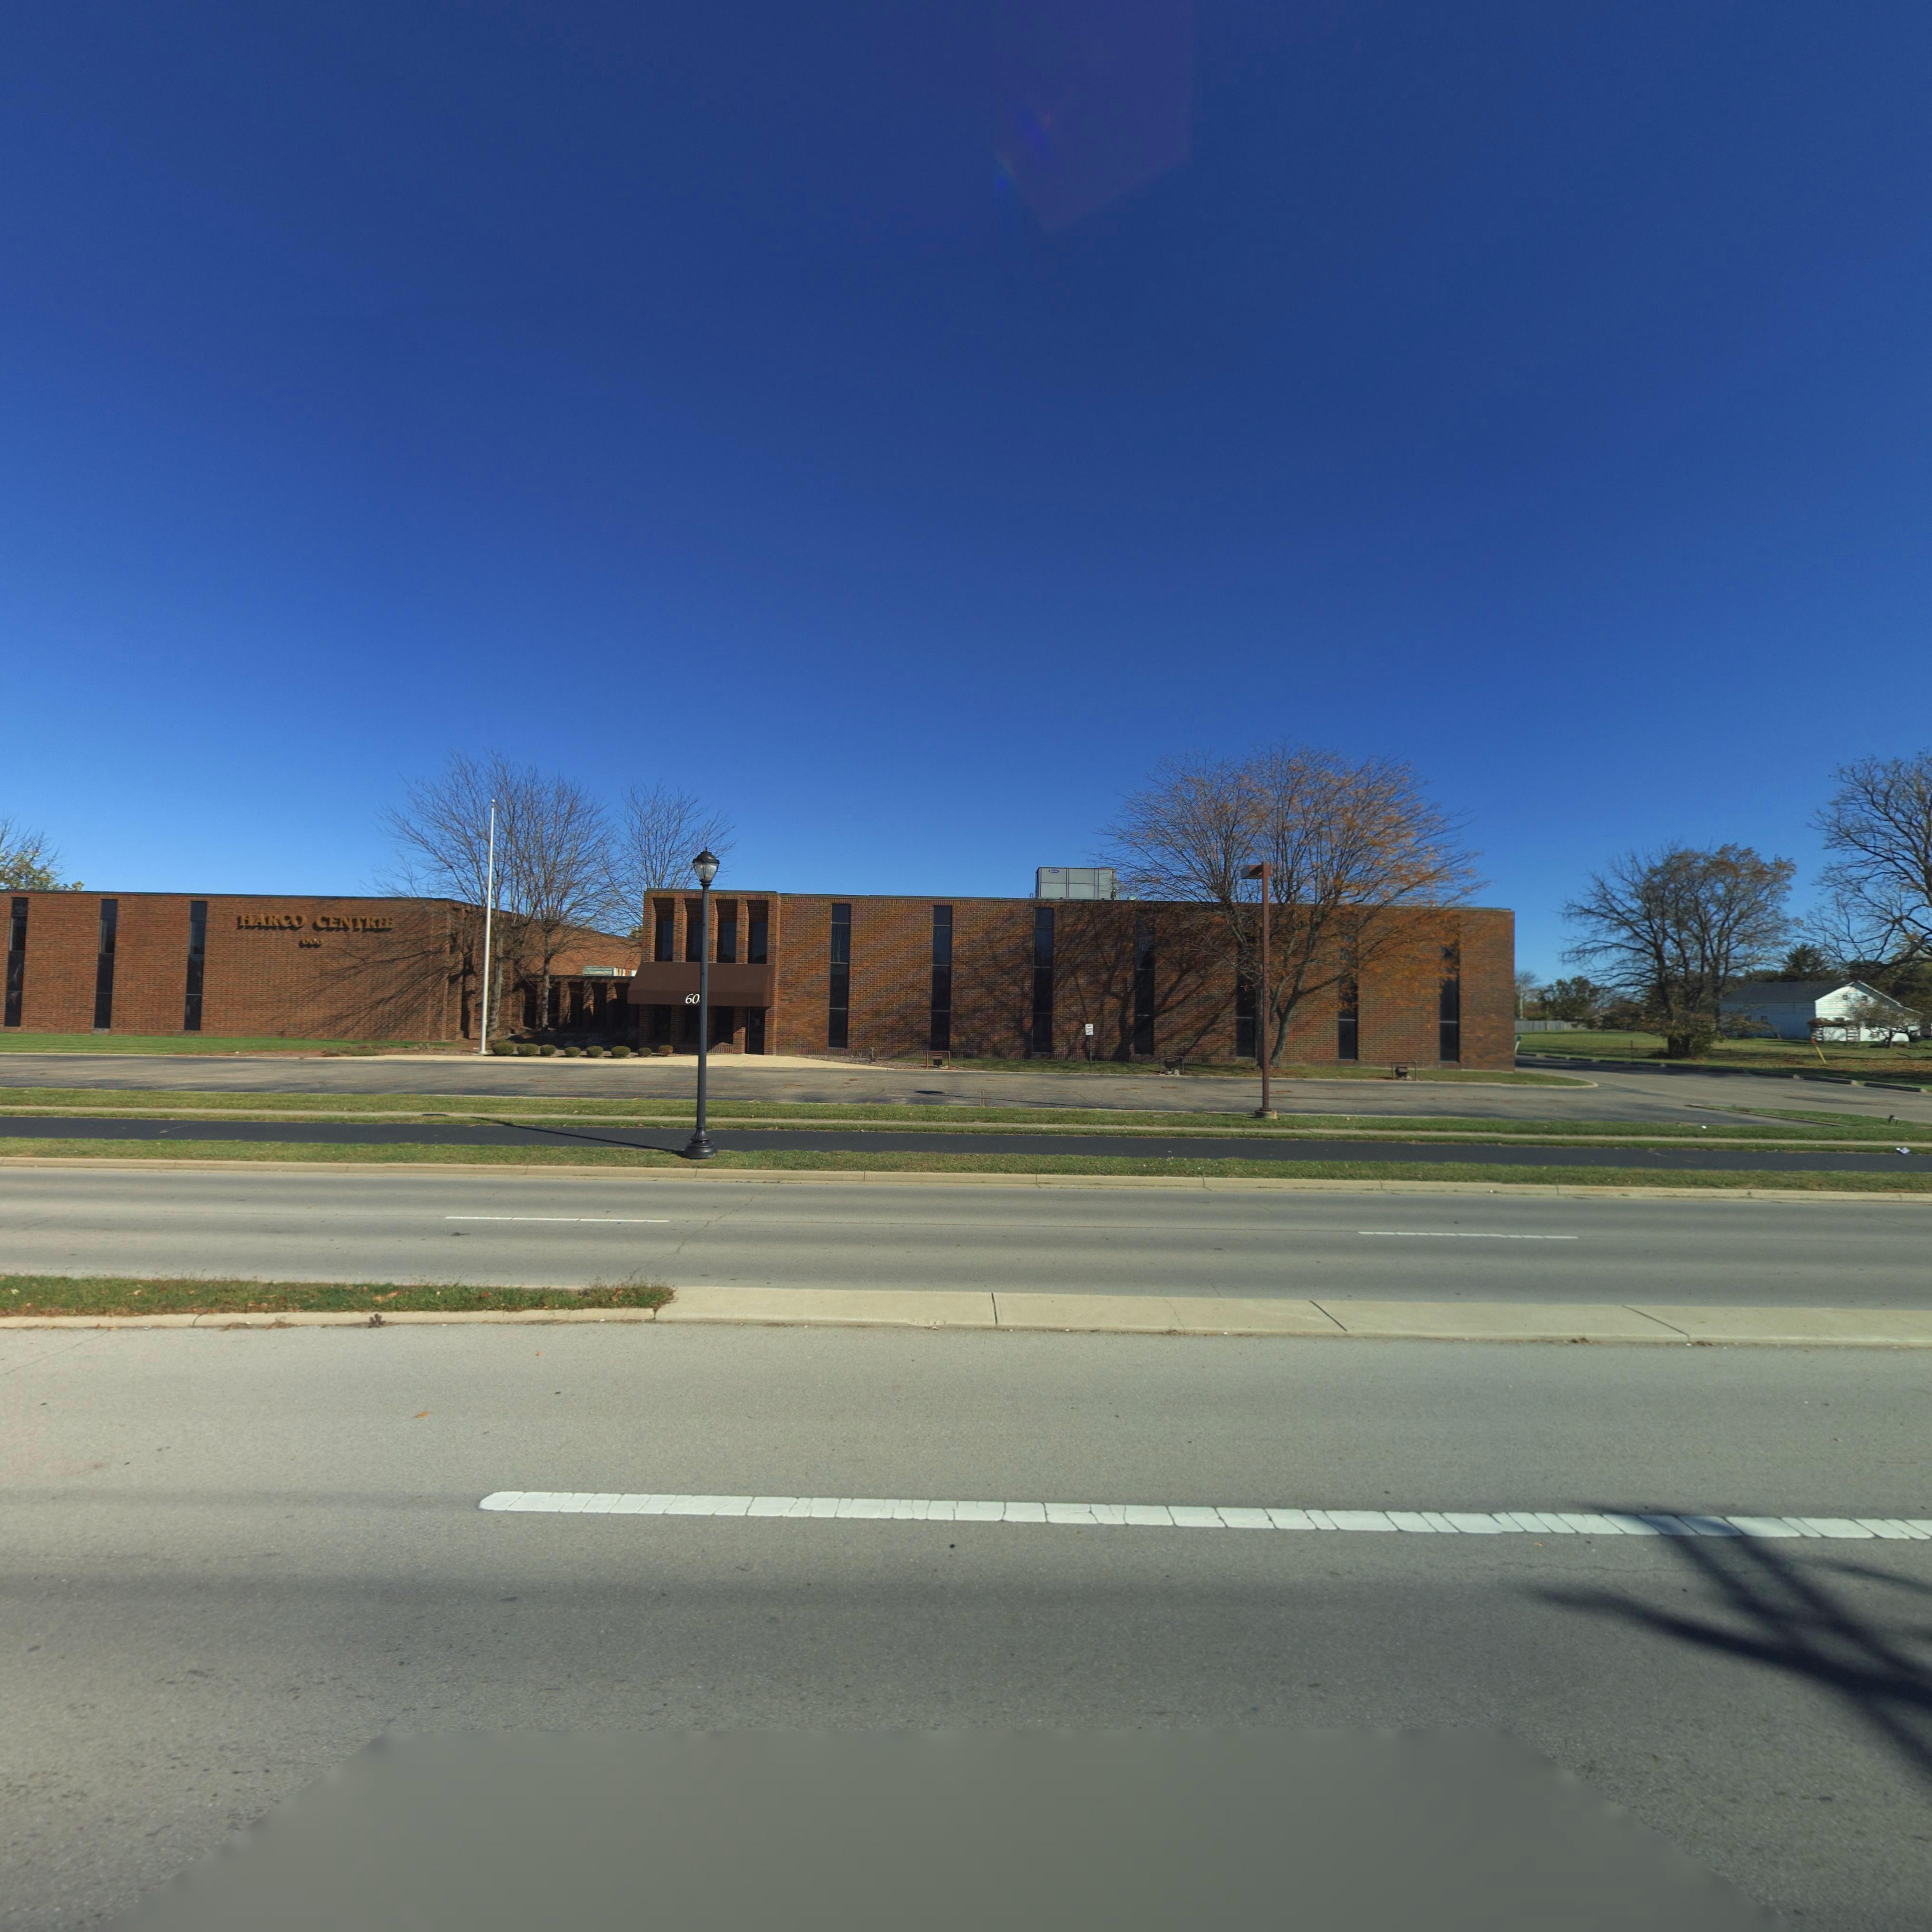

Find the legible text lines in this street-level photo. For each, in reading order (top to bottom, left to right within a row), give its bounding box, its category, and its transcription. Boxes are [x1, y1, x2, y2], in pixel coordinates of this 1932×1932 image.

[238, 913, 397, 930] BusinessName: HARCO CENTR*E
[300, 932, 325, 947] StreetNumber: 600
[684, 992, 701, 1005] StreetNumber: 60